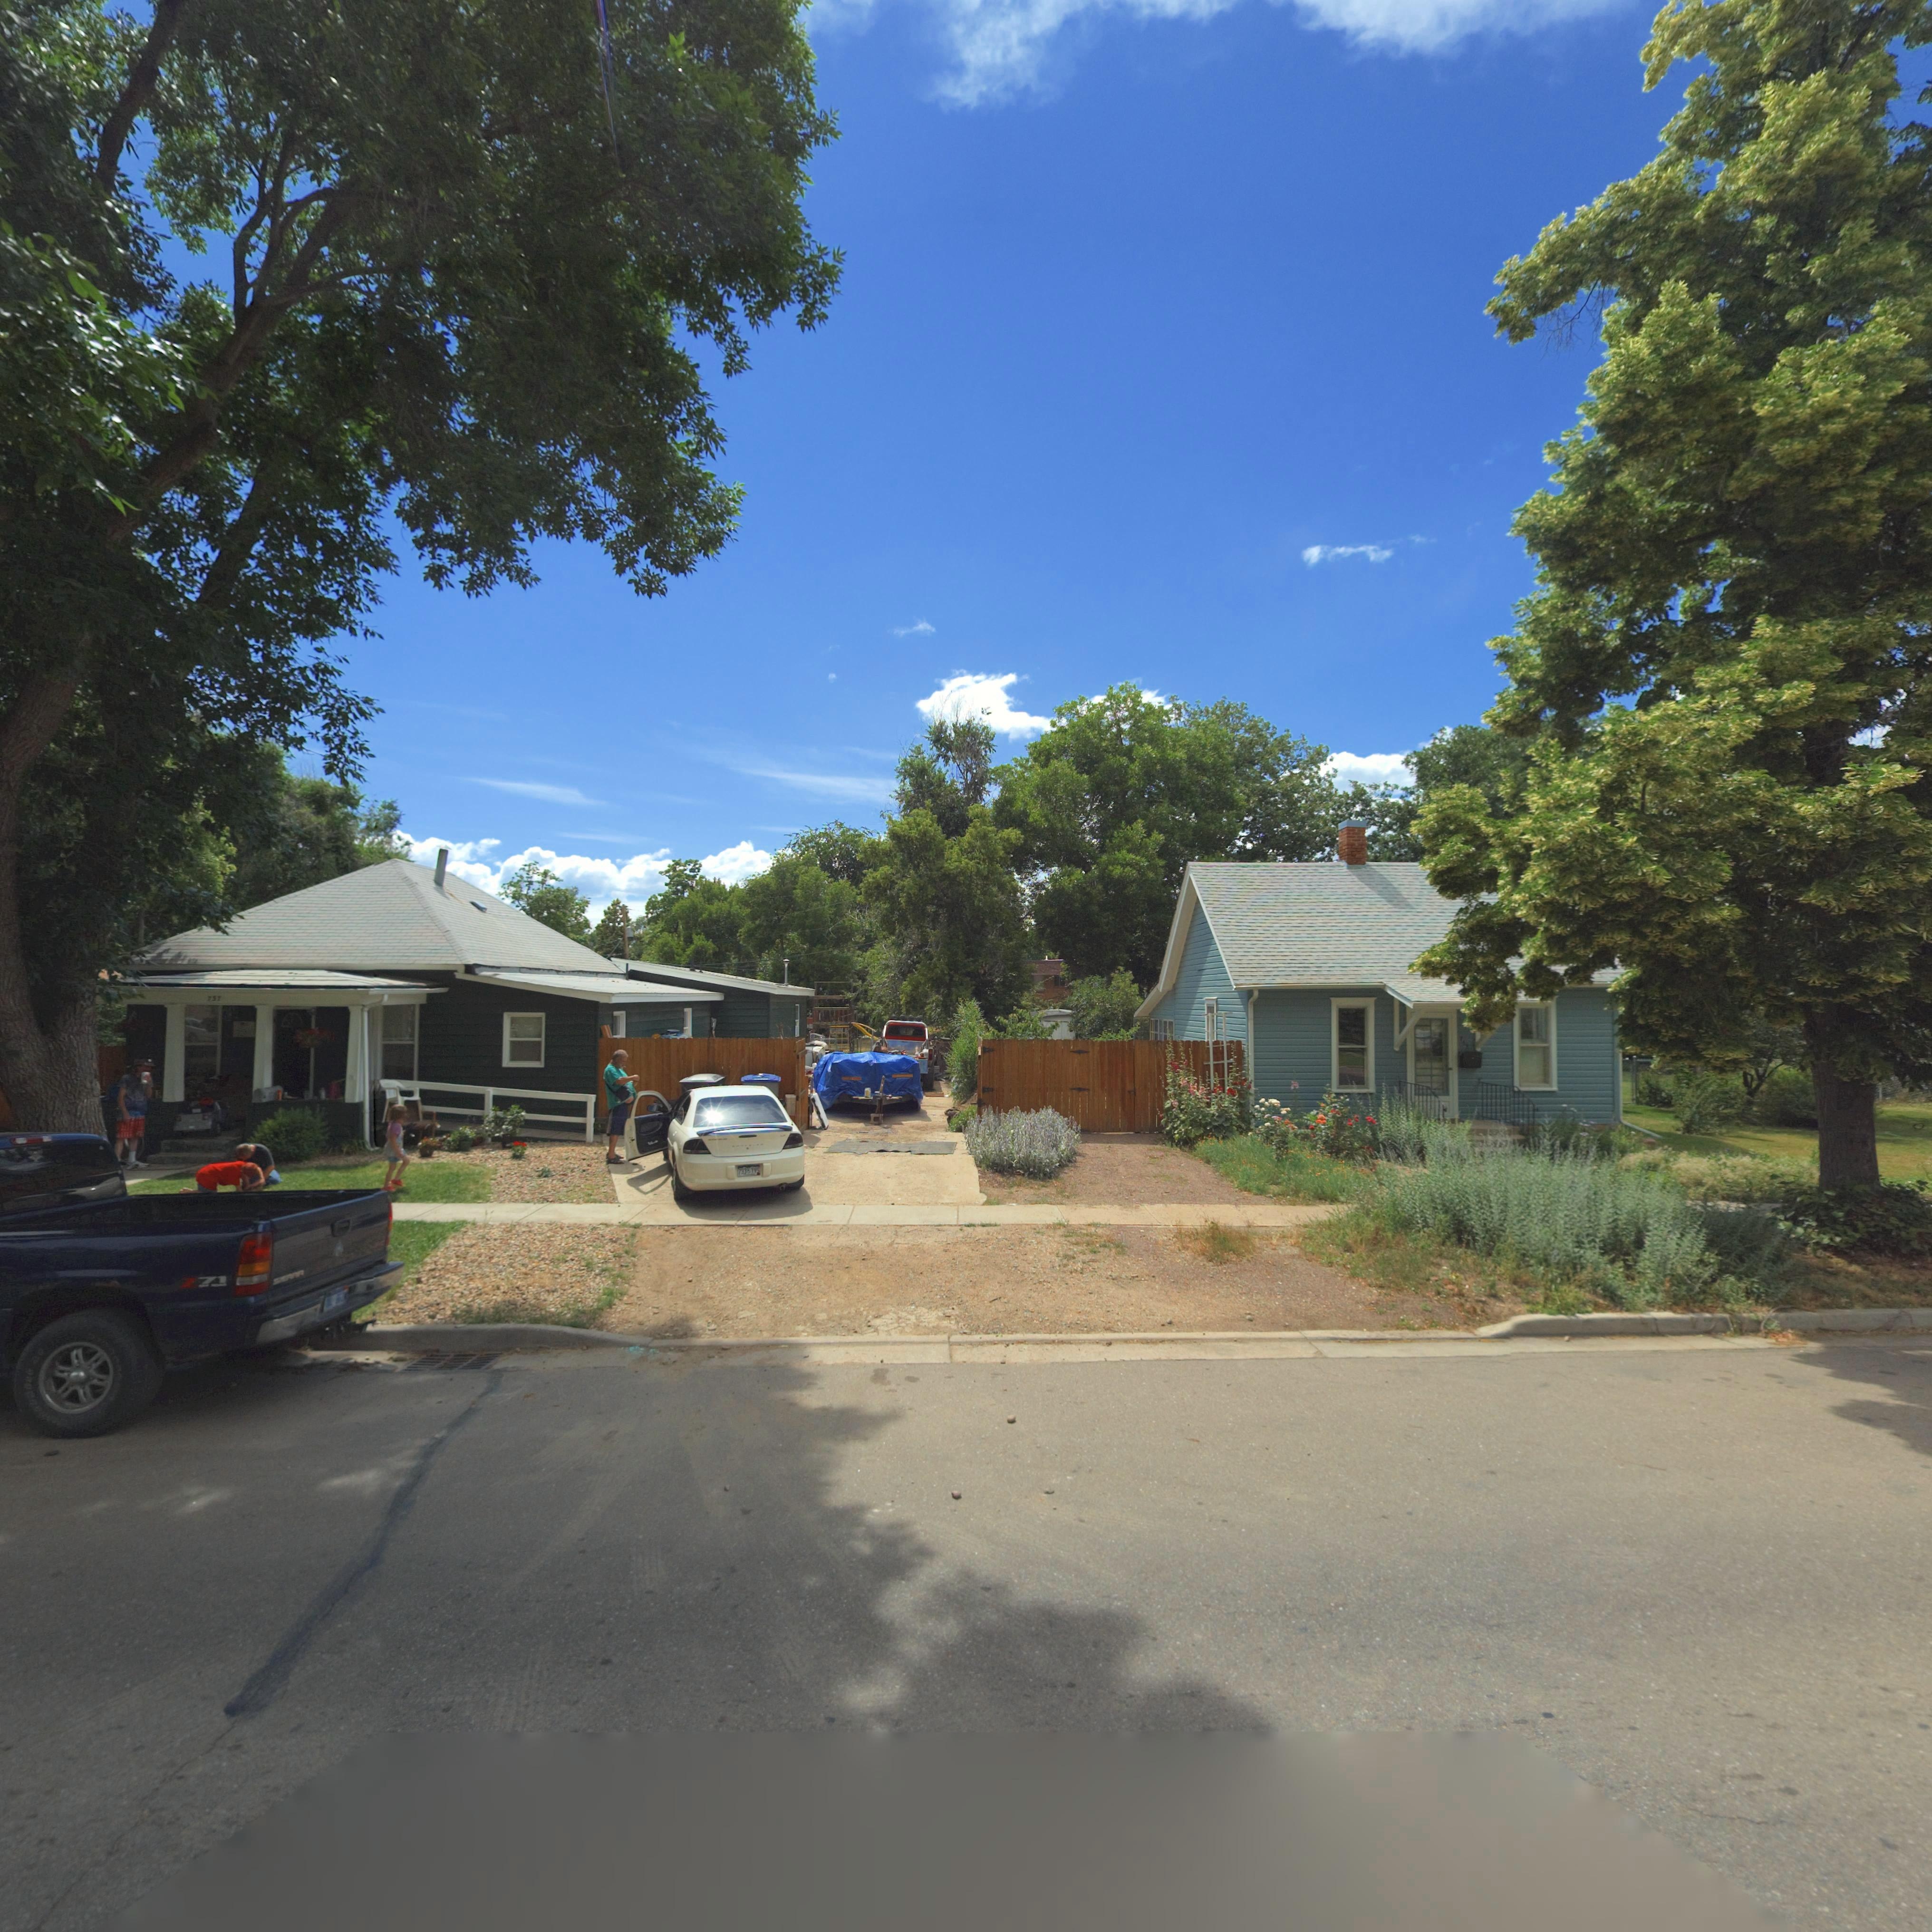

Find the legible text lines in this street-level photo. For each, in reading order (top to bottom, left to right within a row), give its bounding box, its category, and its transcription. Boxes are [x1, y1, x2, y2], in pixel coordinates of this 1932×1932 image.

[207, 995, 221, 1001] StreetNumber: 757
[1459, 1034, 1469, 1050] None: 73*